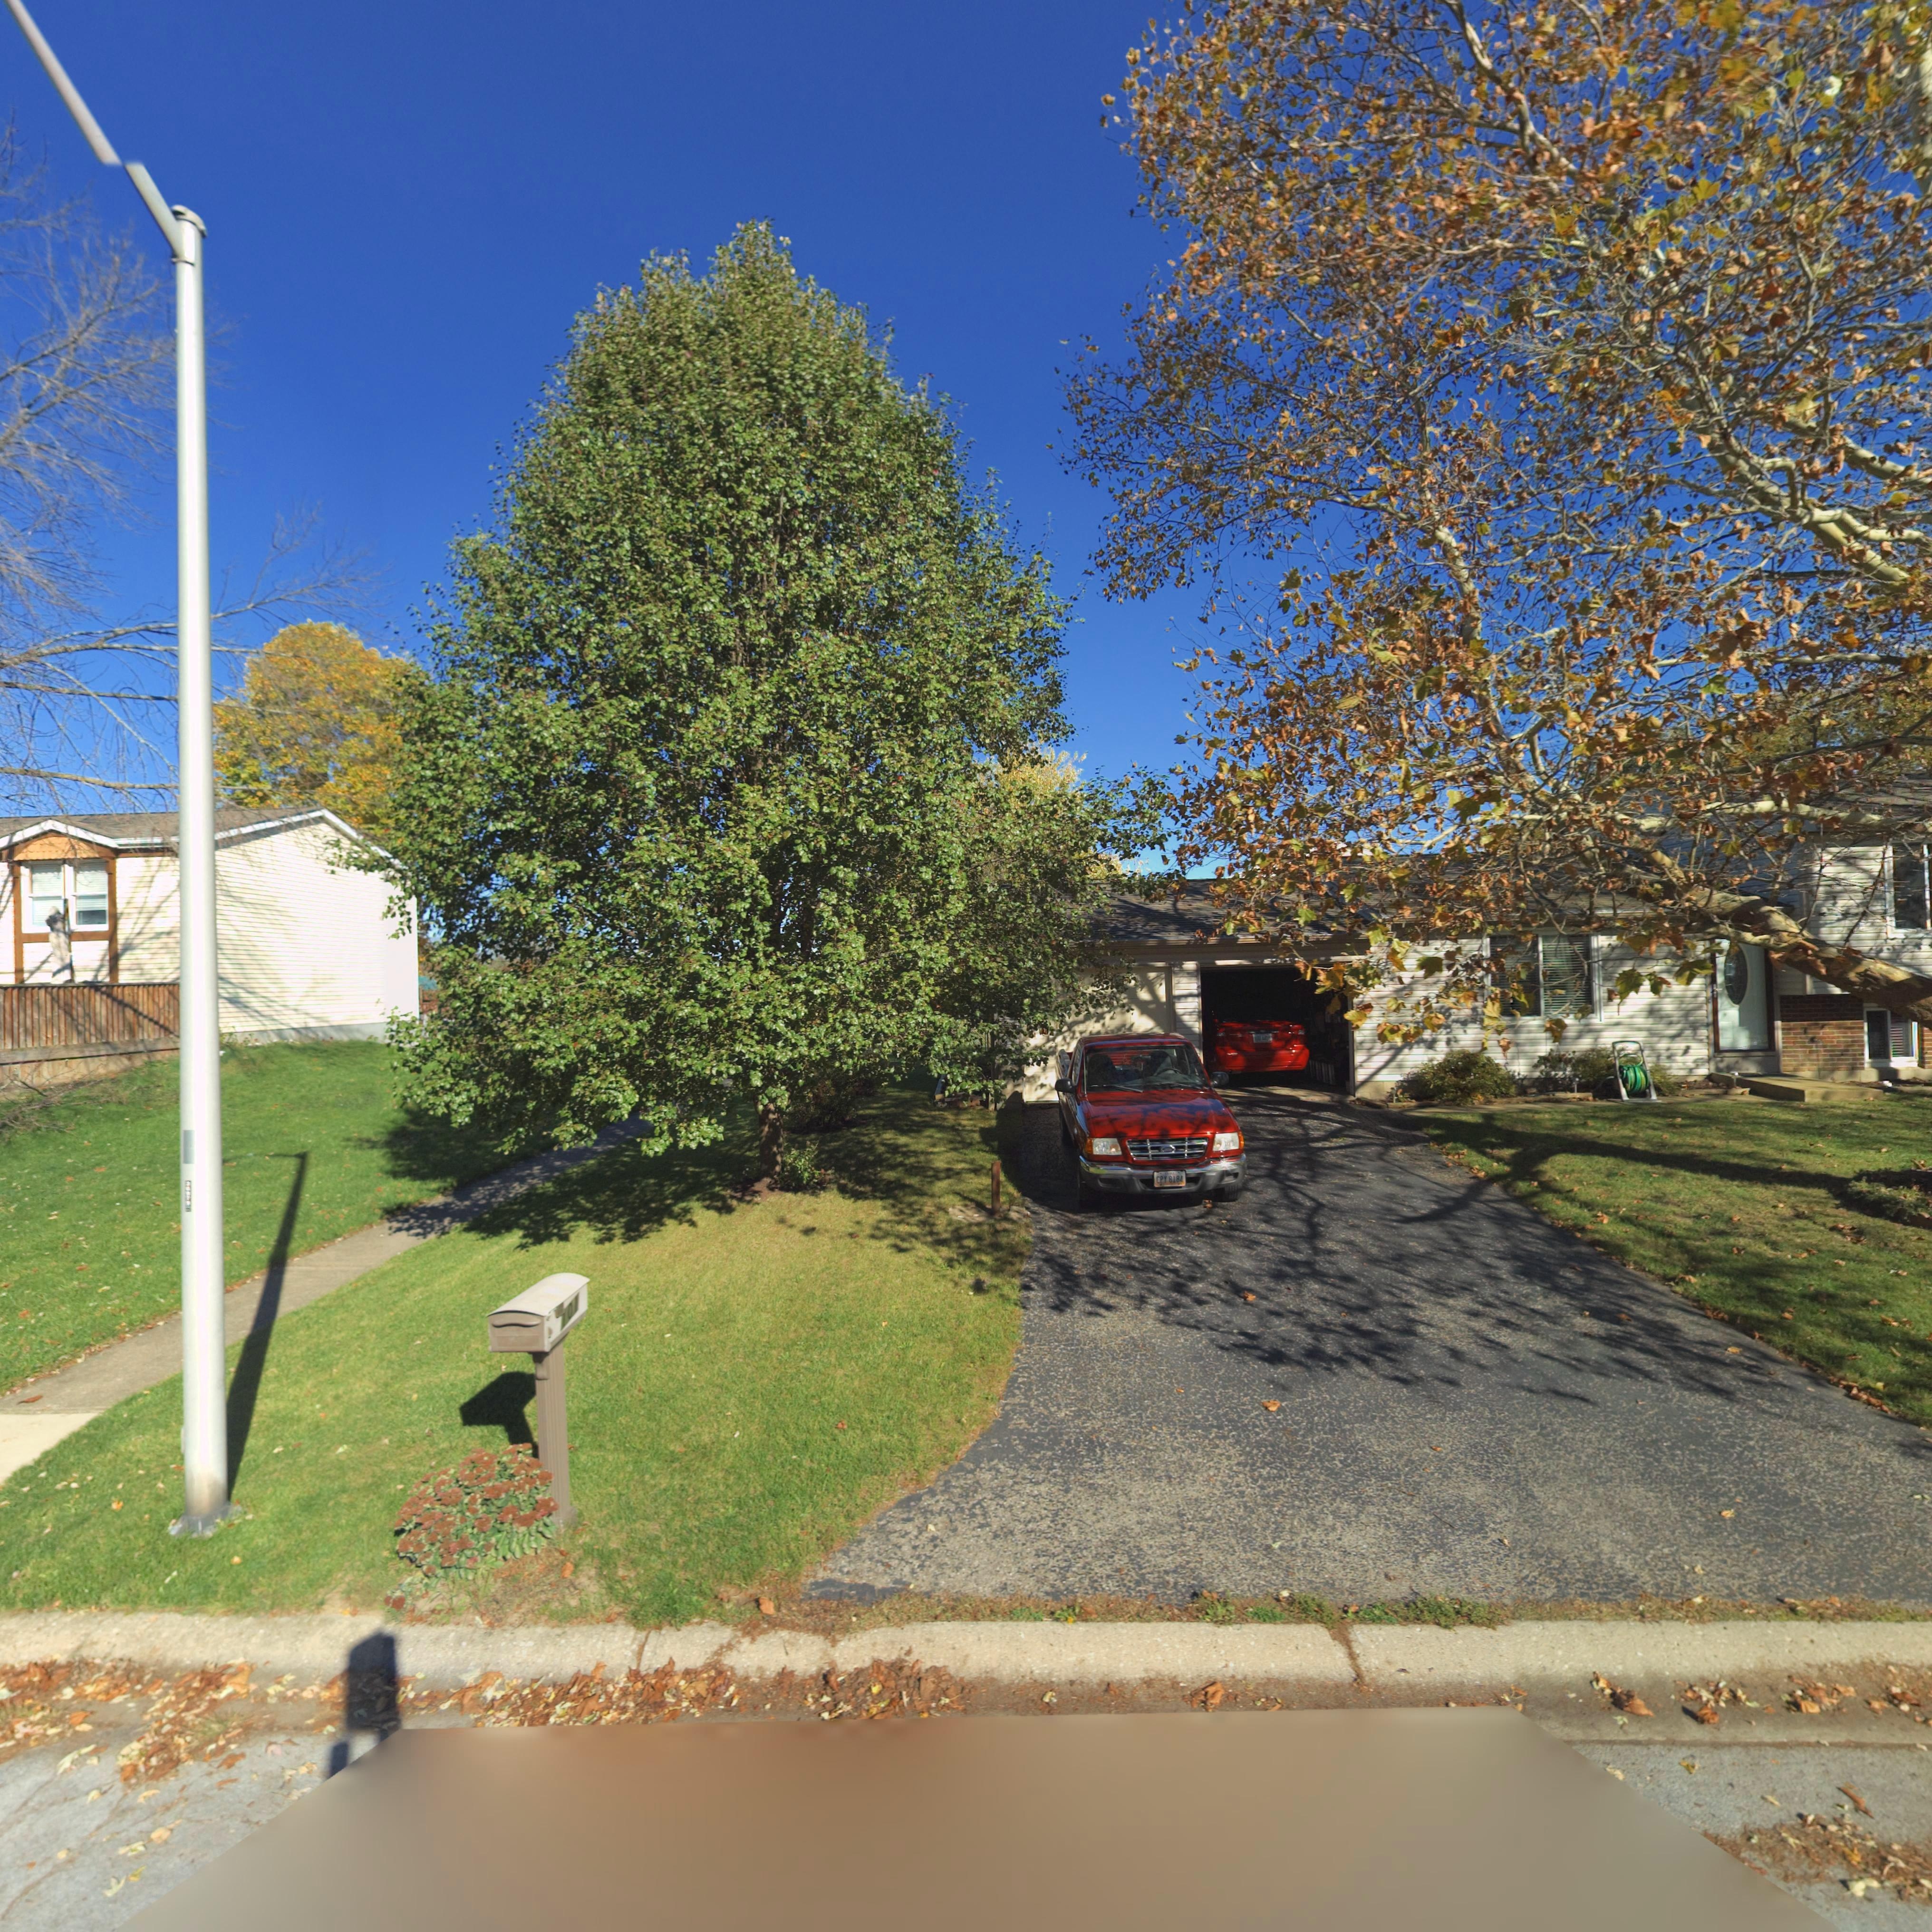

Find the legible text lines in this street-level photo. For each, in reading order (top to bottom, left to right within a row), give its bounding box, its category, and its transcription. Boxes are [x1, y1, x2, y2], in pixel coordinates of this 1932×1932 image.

[559, 1290, 580, 1331] StreetNumber: 101